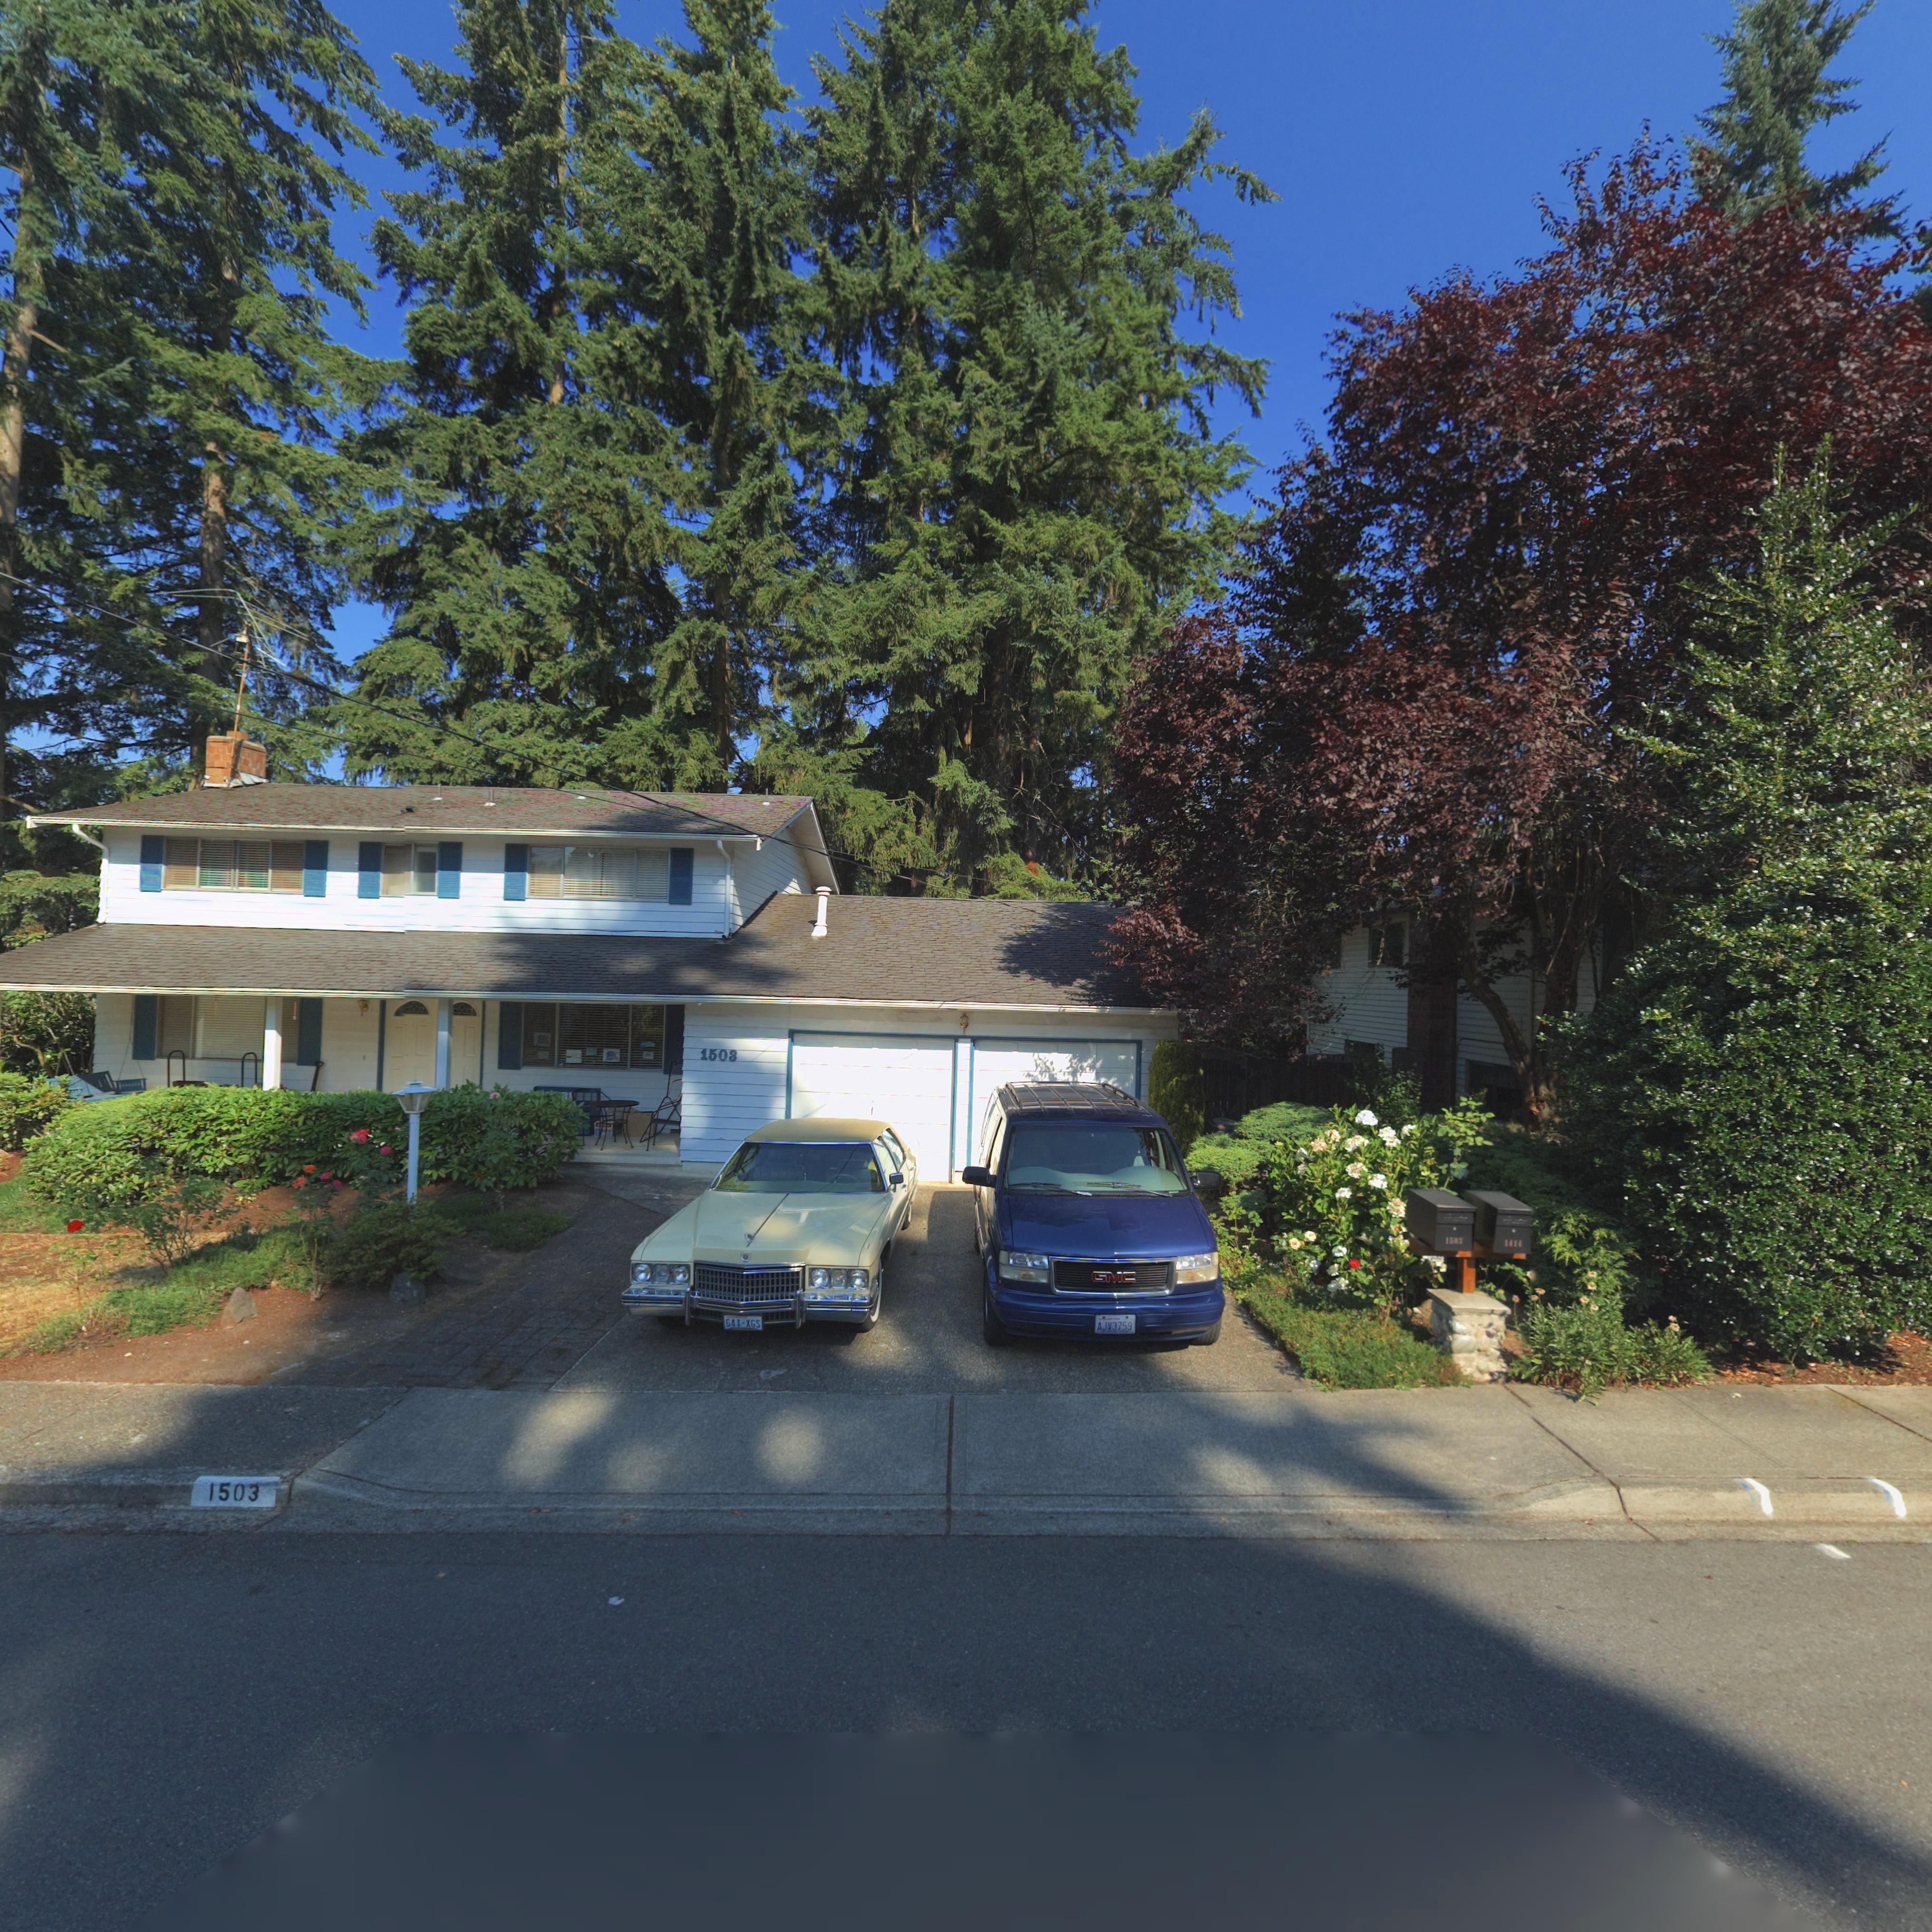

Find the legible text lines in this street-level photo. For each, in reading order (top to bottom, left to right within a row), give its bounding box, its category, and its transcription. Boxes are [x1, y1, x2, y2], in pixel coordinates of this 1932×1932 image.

[700, 1048, 737, 1062] StreetNumber: 1503
[208, 1480, 261, 1504] StreetNumber: 1503